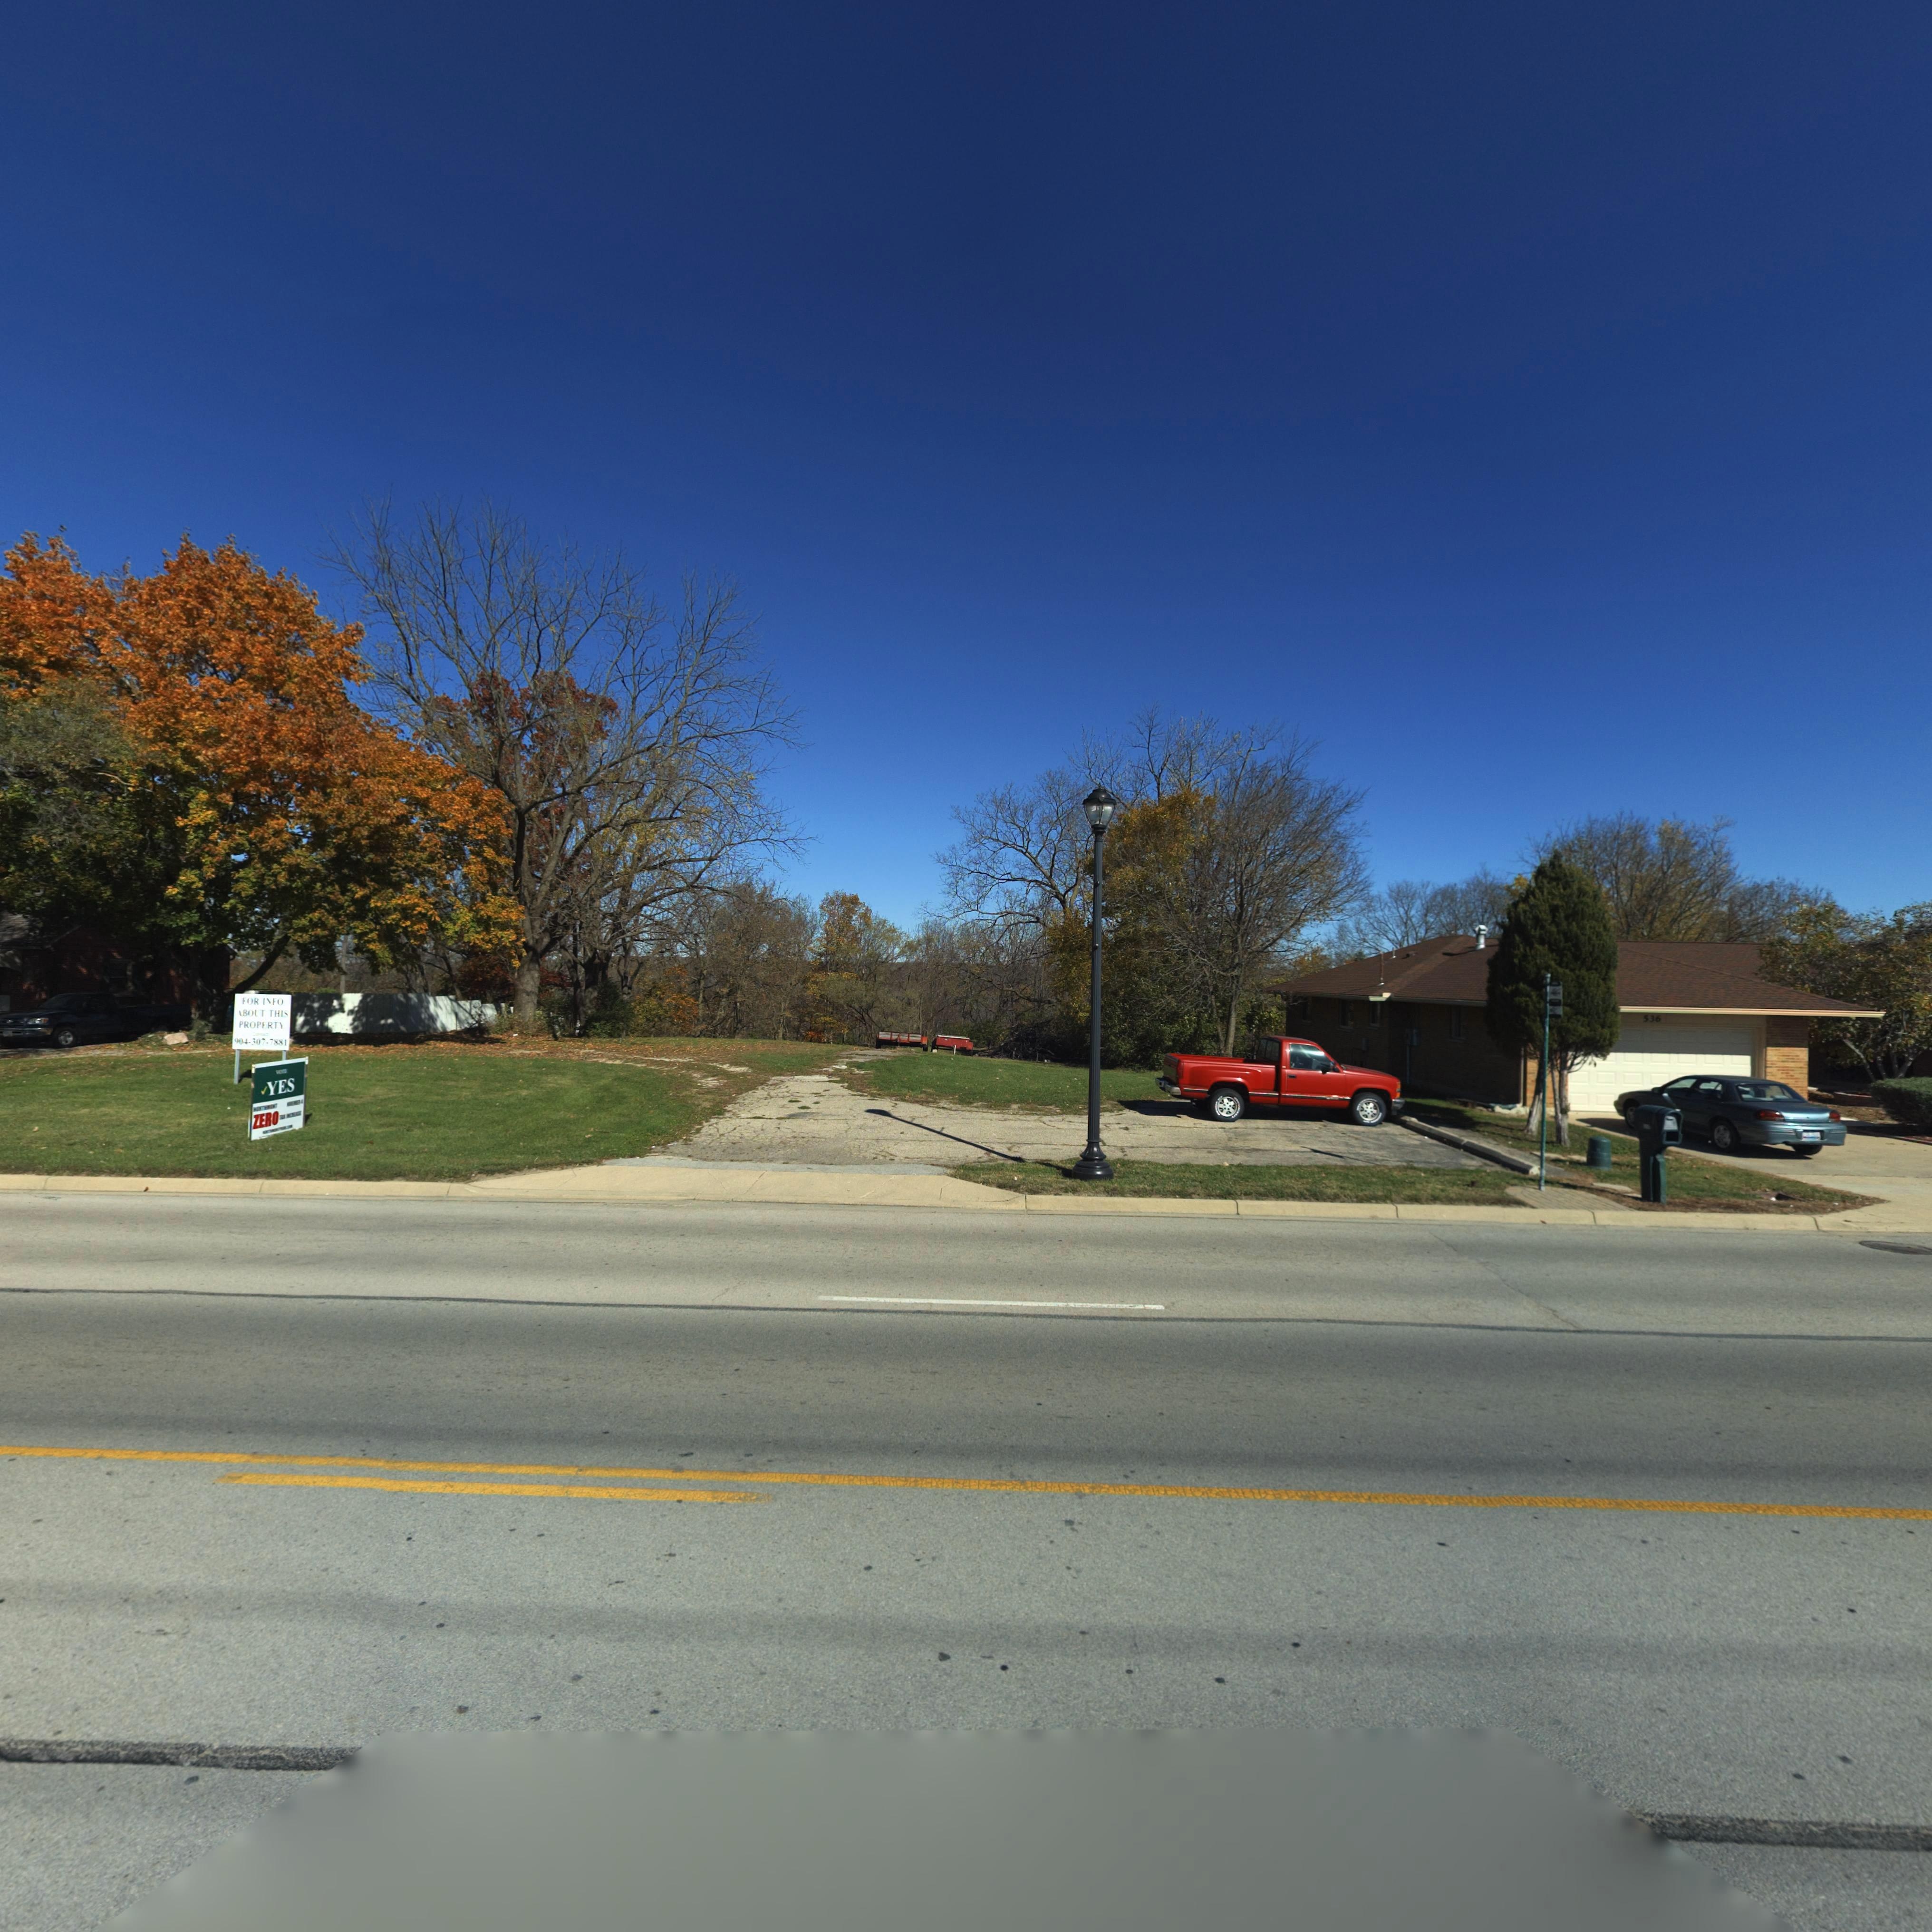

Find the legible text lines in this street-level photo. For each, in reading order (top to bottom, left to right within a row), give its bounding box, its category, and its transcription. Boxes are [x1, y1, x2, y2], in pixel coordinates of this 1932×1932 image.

[241, 996, 284, 1006] None: FOR INFO
[236, 1009, 290, 1018] None: ABOUT THIS
[1642, 1014, 1662, 1024] StreetNumber: 536
[238, 1020, 287, 1030] None: PROPERTY
[233, 1037, 288, 1047] None: 904-307-7881
[265, 1077, 296, 1097] None: YES
[251, 1110, 280, 1130] None: ZERO